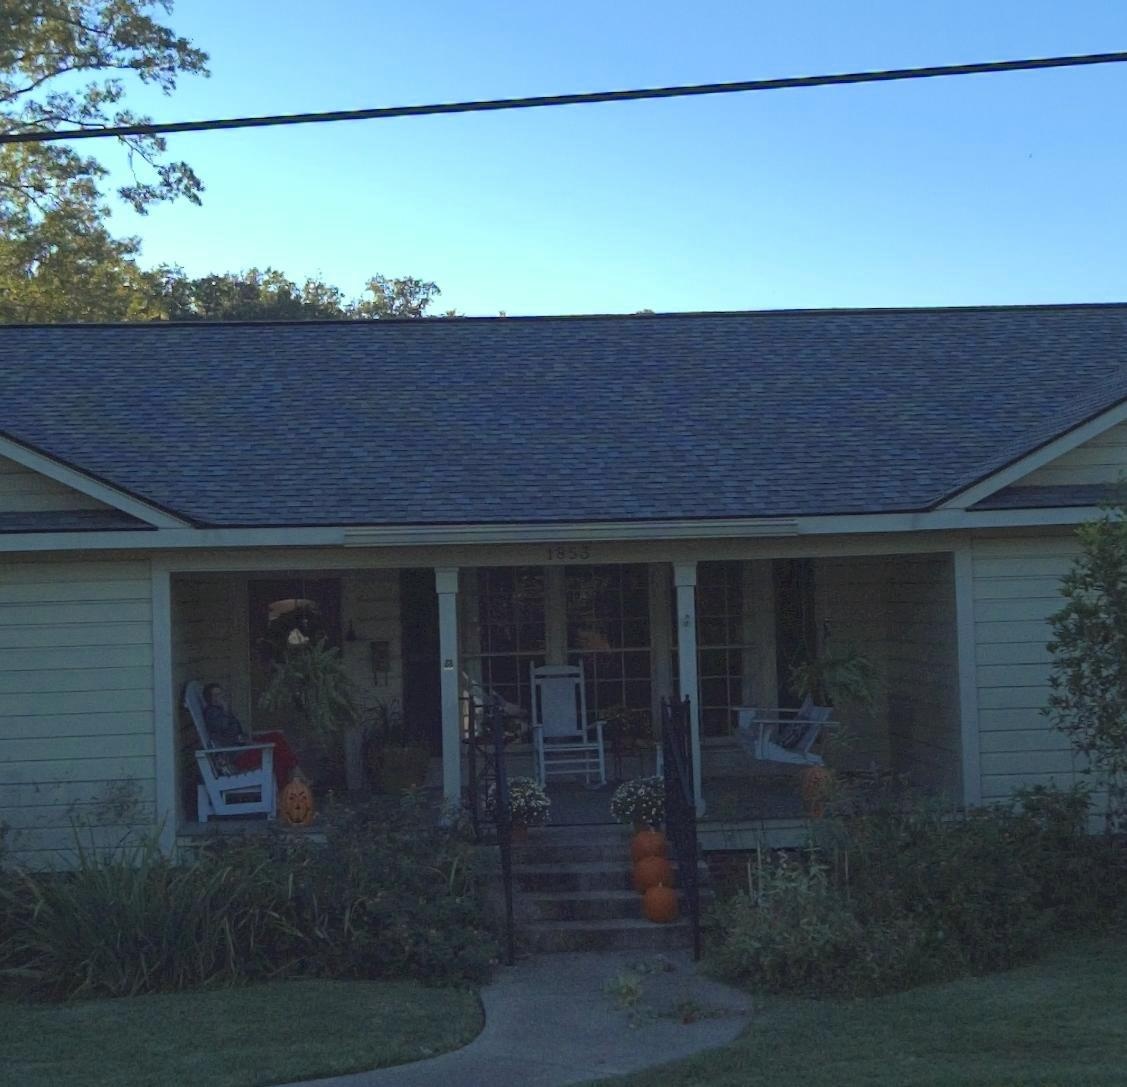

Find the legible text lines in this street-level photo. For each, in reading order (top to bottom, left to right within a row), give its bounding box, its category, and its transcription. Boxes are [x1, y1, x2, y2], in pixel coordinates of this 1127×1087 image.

[545, 543, 591, 563] StreetNumber: 1853